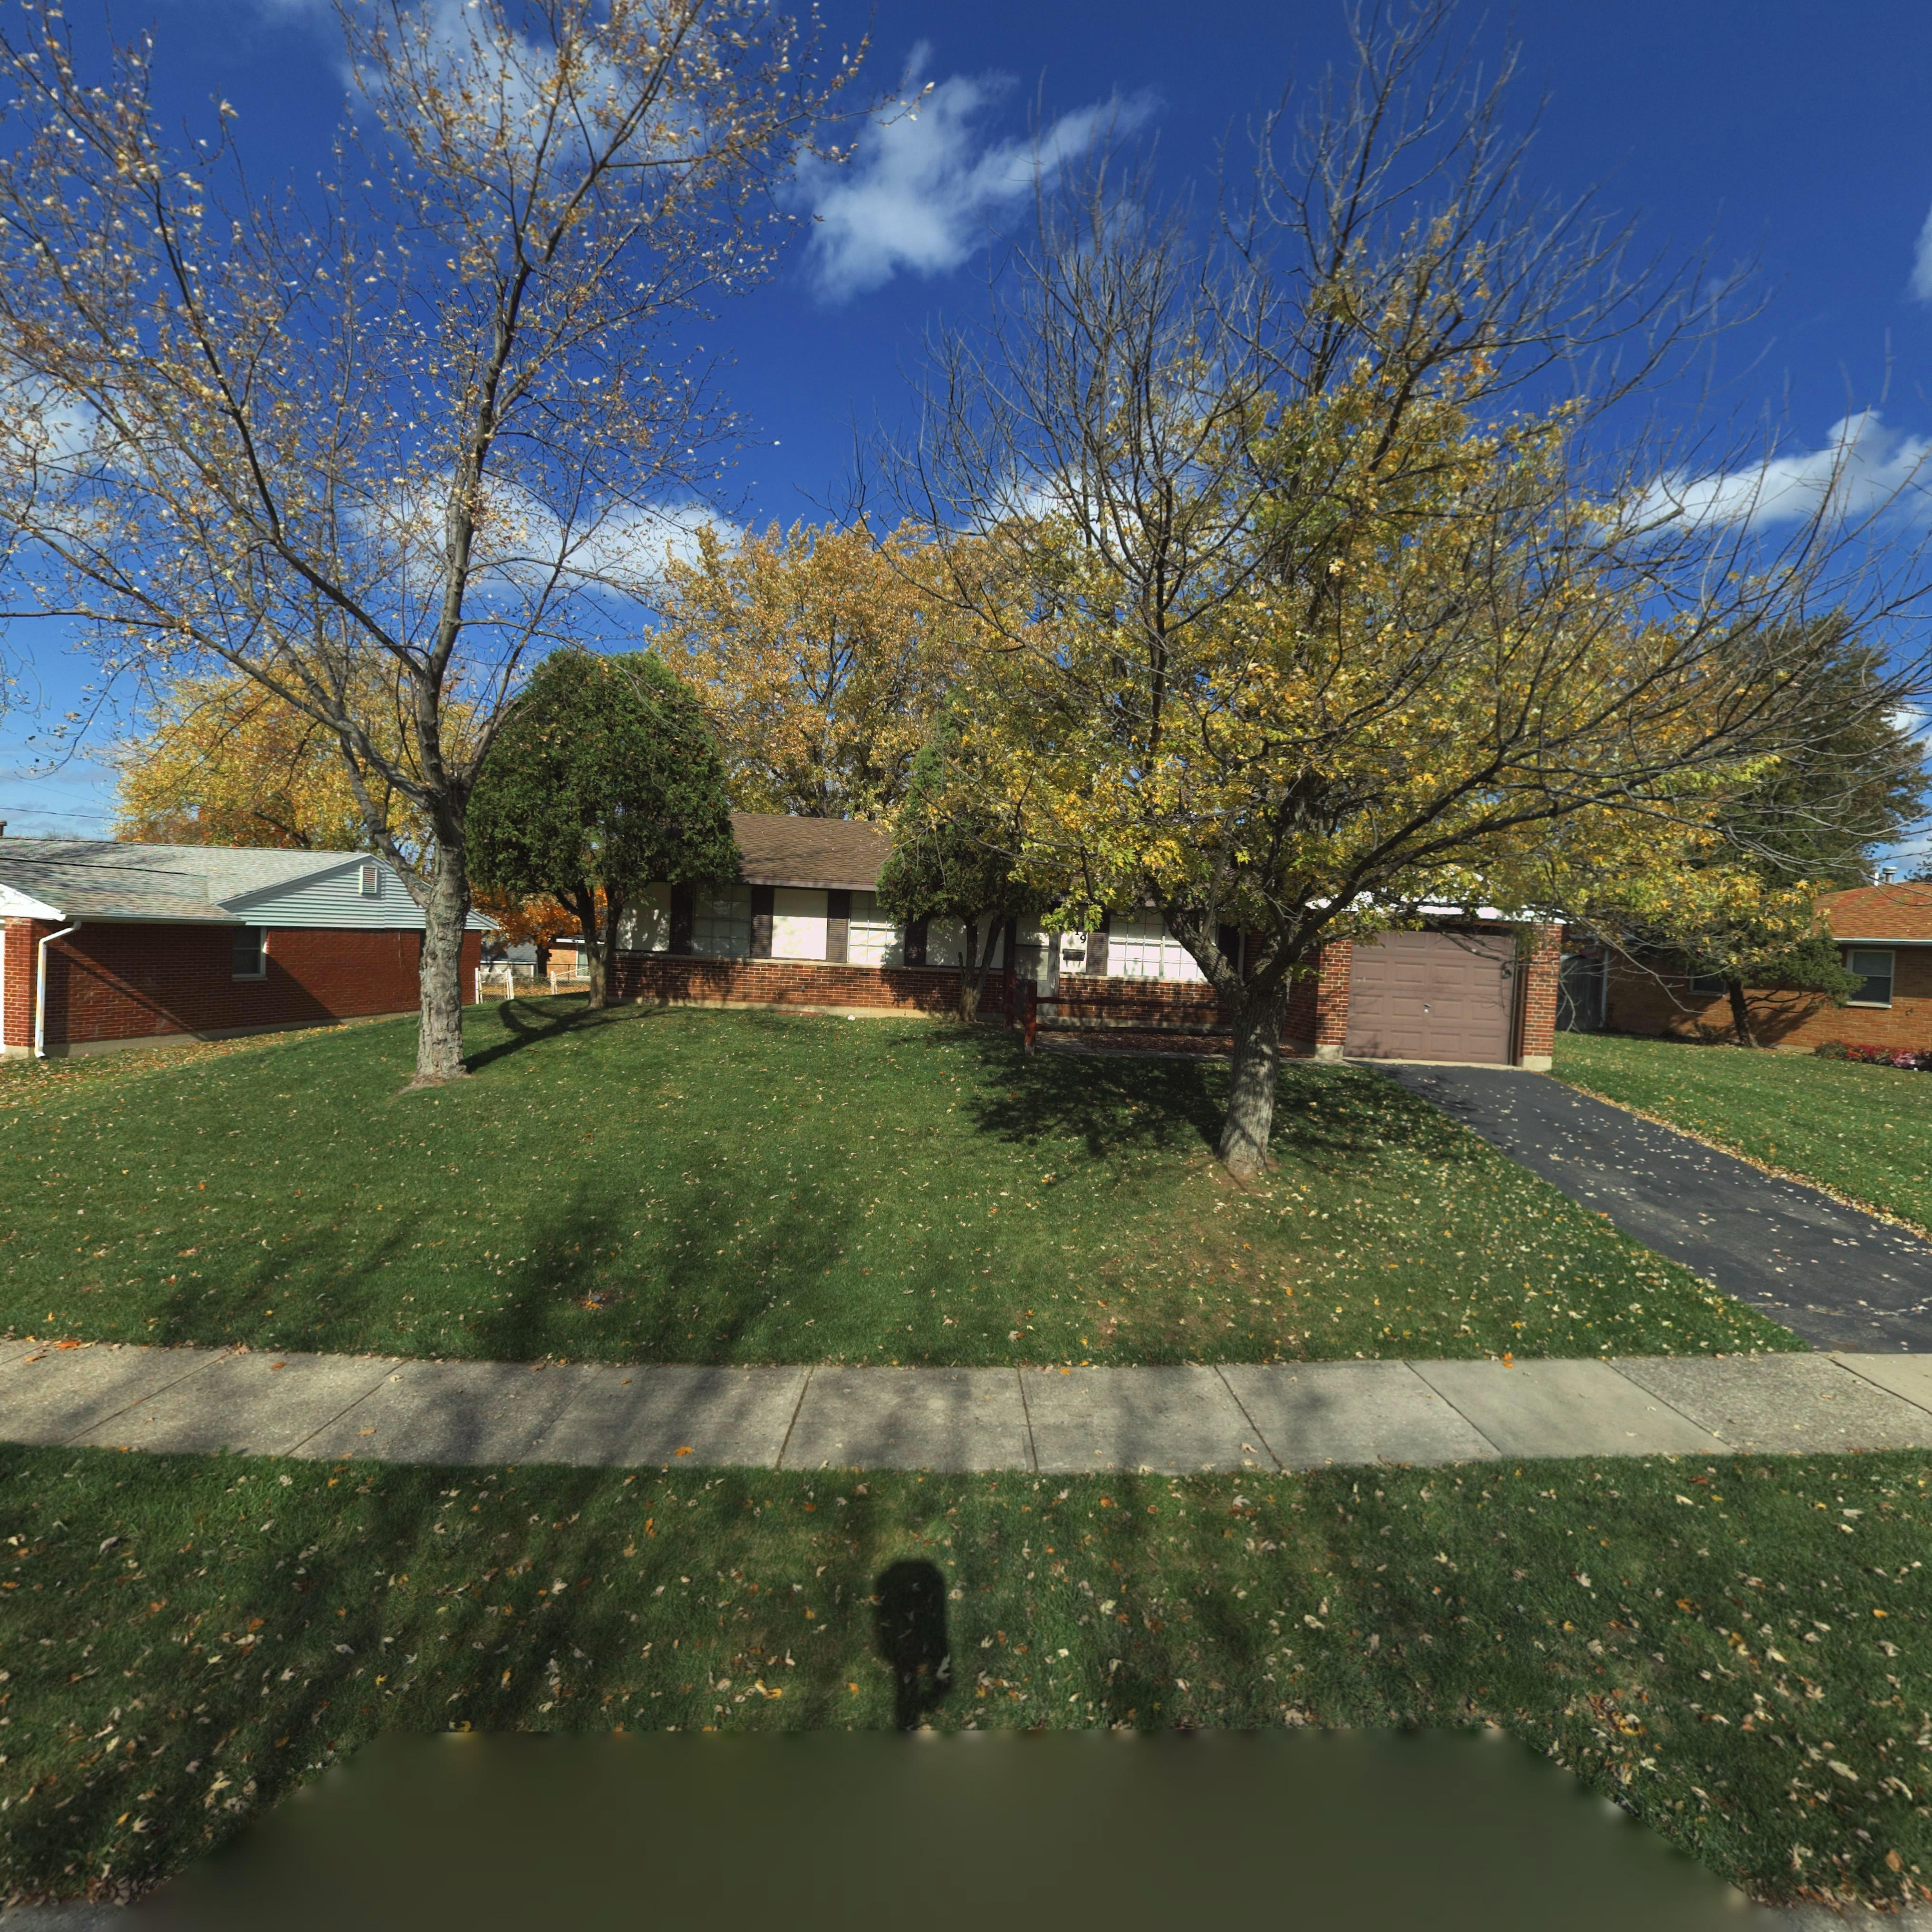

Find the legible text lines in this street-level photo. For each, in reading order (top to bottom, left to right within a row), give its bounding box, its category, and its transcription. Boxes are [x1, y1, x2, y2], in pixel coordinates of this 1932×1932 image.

[1075, 925, 1087, 944] StreetNumber: 19